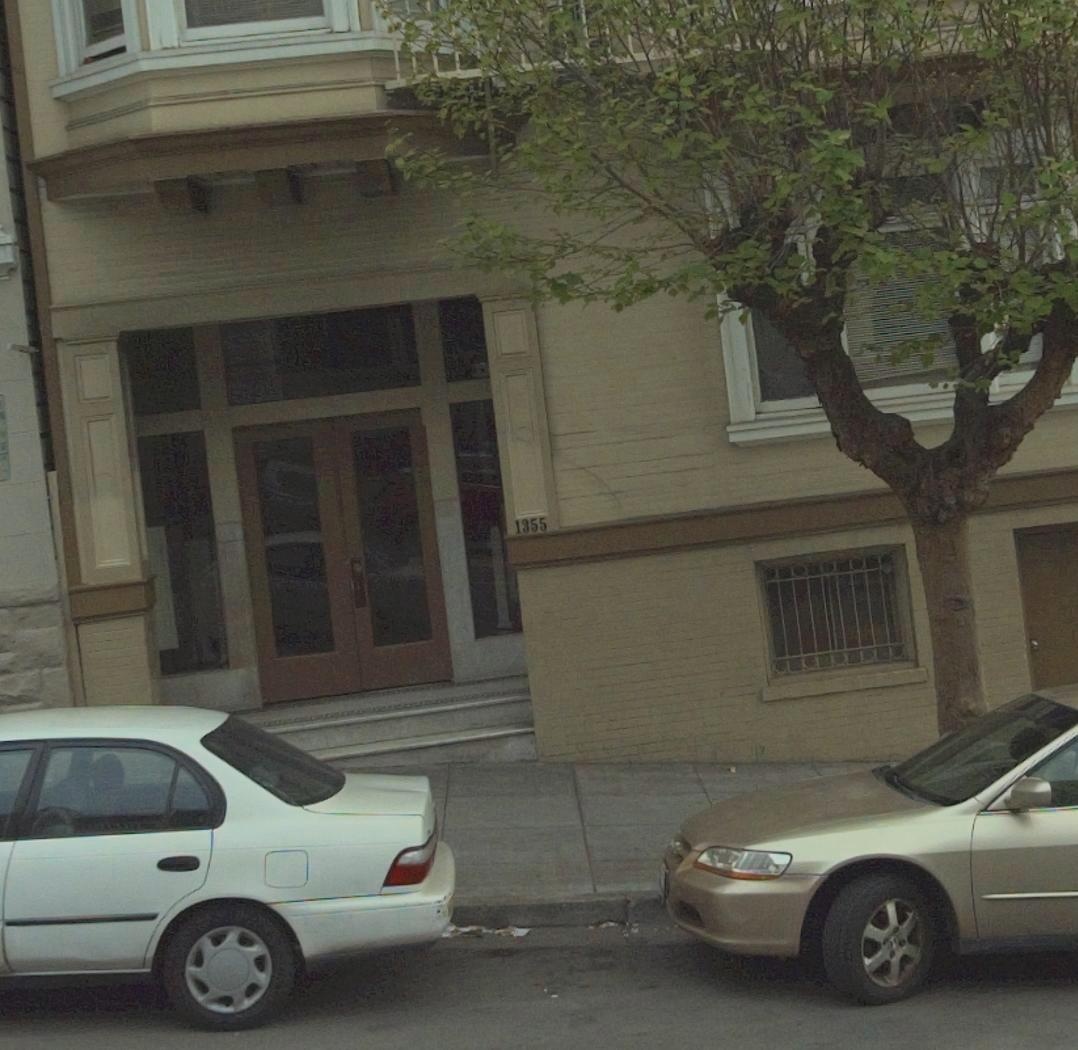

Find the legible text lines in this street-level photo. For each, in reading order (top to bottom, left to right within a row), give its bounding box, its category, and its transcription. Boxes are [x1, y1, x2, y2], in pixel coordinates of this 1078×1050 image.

[513, 515, 549, 536] StreetNumber: 1355